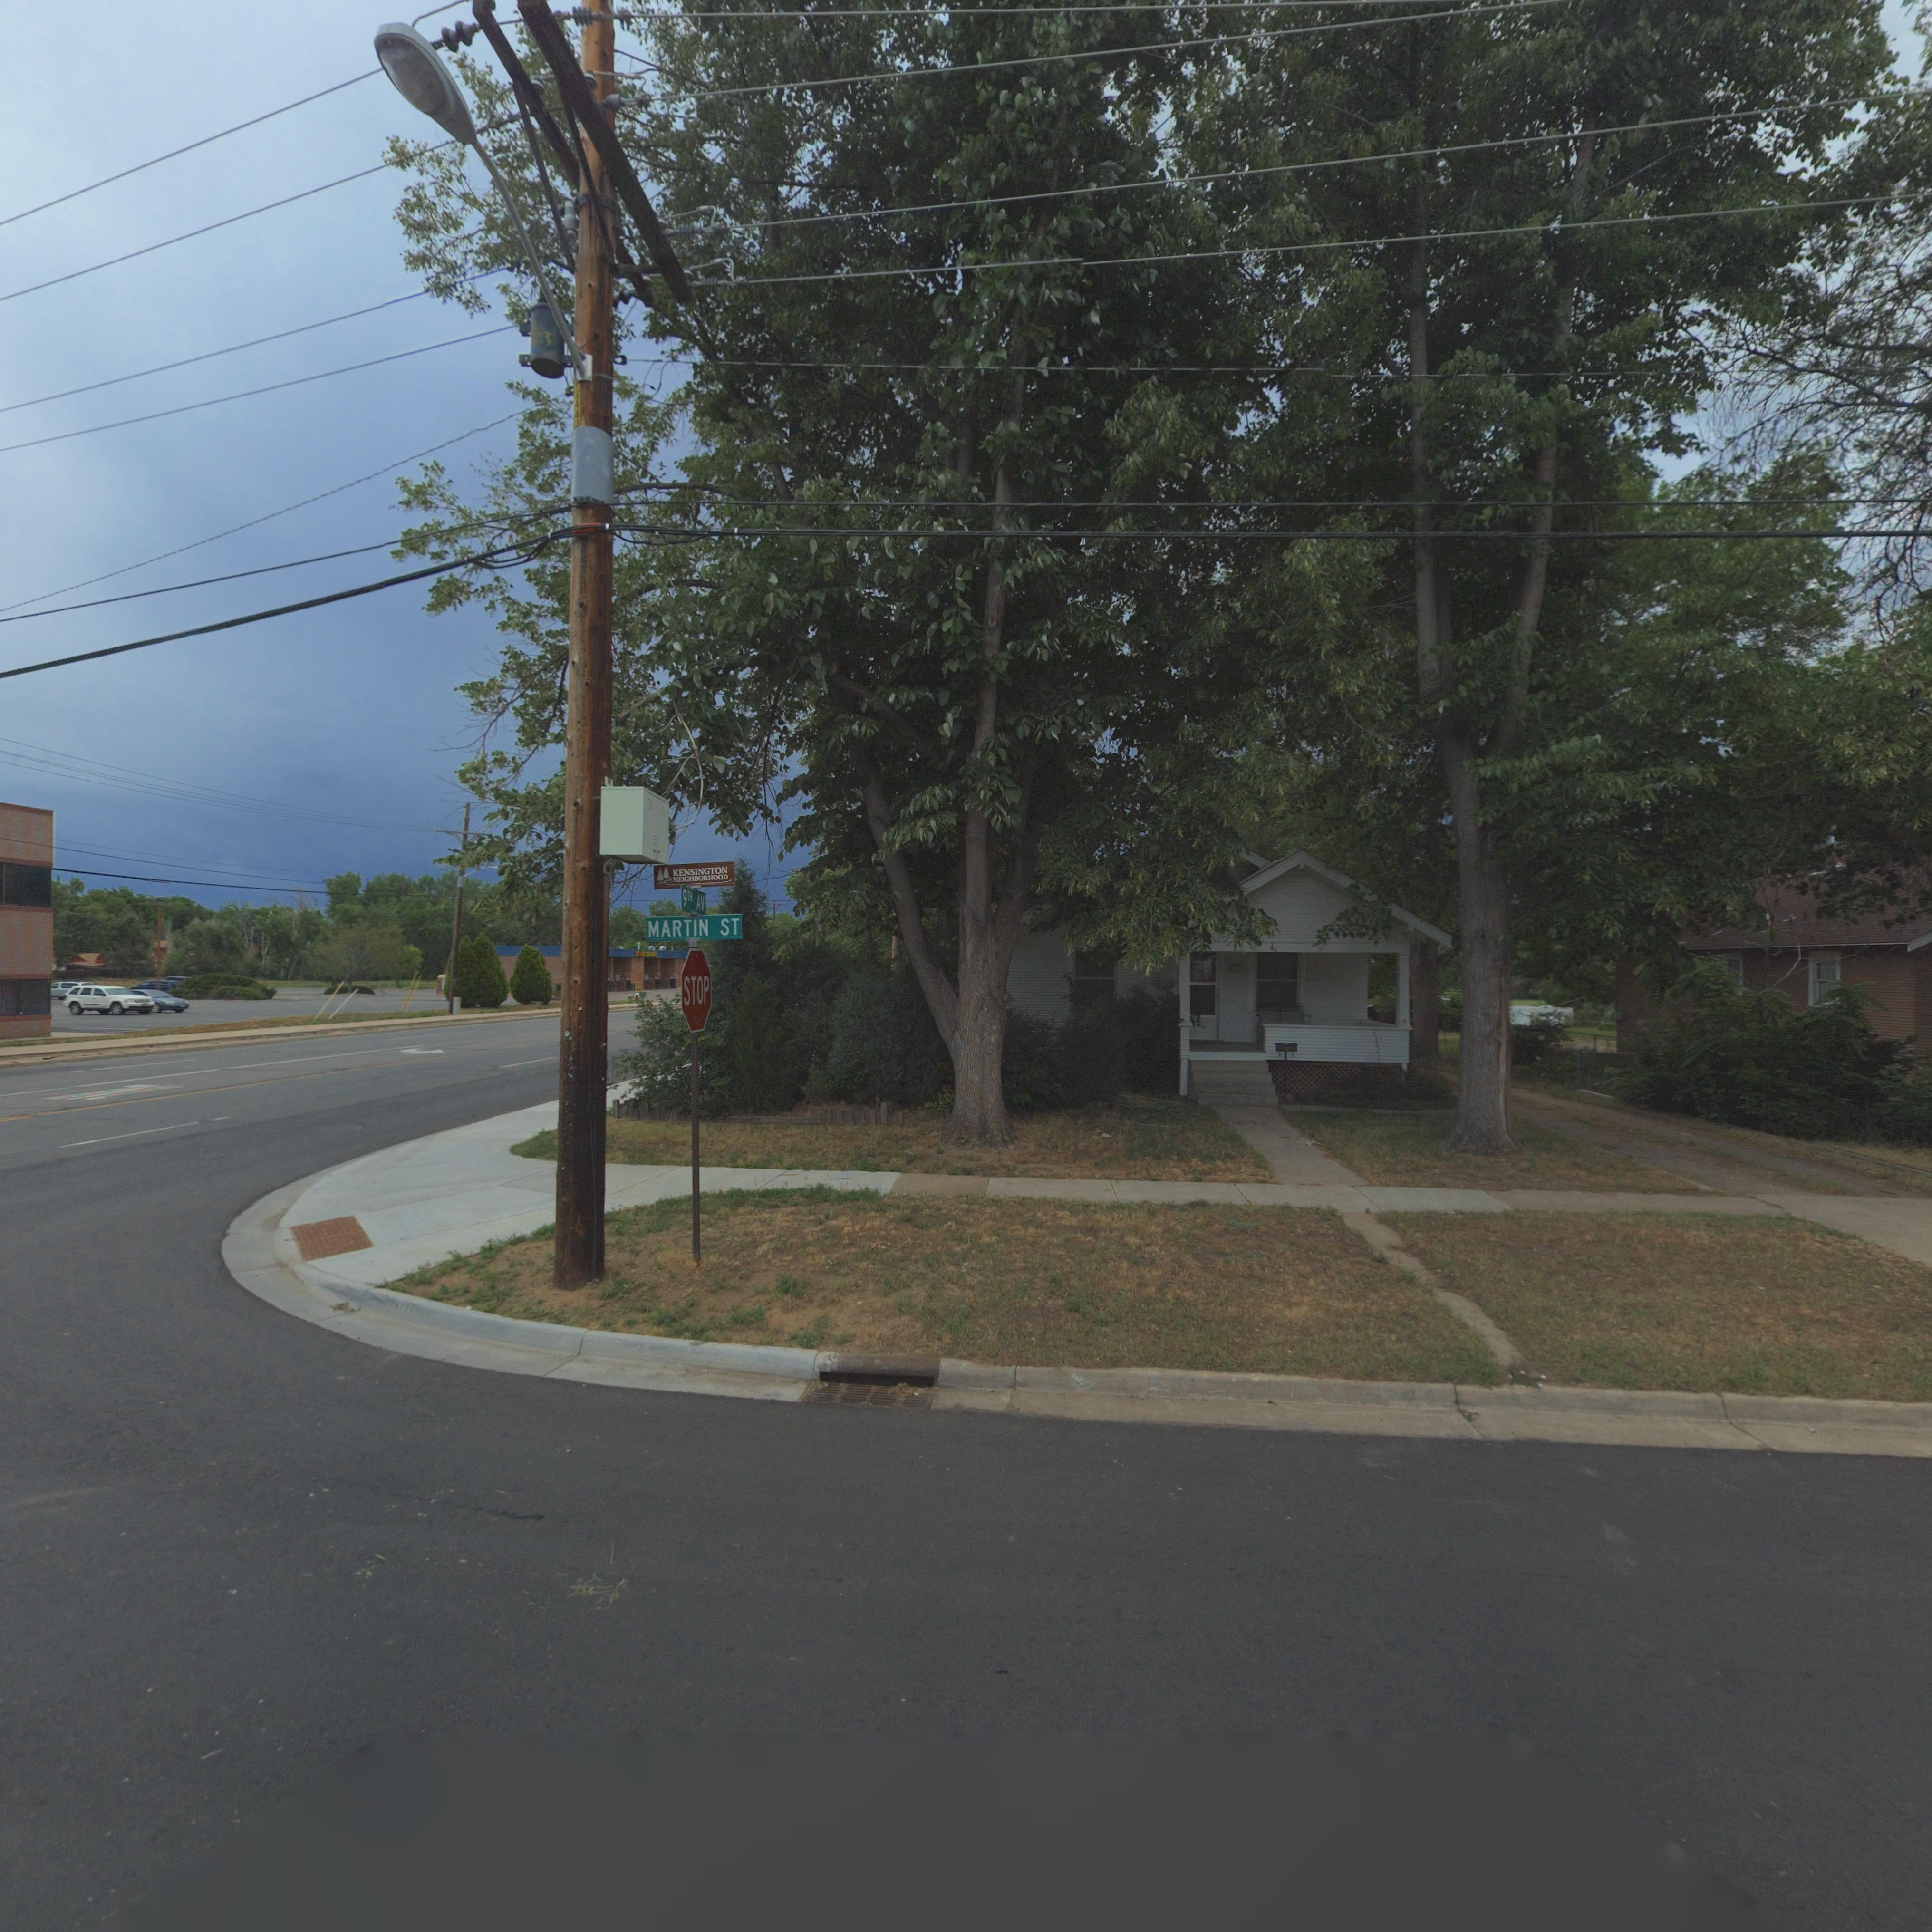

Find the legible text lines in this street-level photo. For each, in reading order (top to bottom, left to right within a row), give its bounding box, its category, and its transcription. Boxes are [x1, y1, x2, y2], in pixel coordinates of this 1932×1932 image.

[682, 889, 705, 912] StreetName: 9TH AV 
[648, 918, 739, 937] StreetName: MARTIN ST